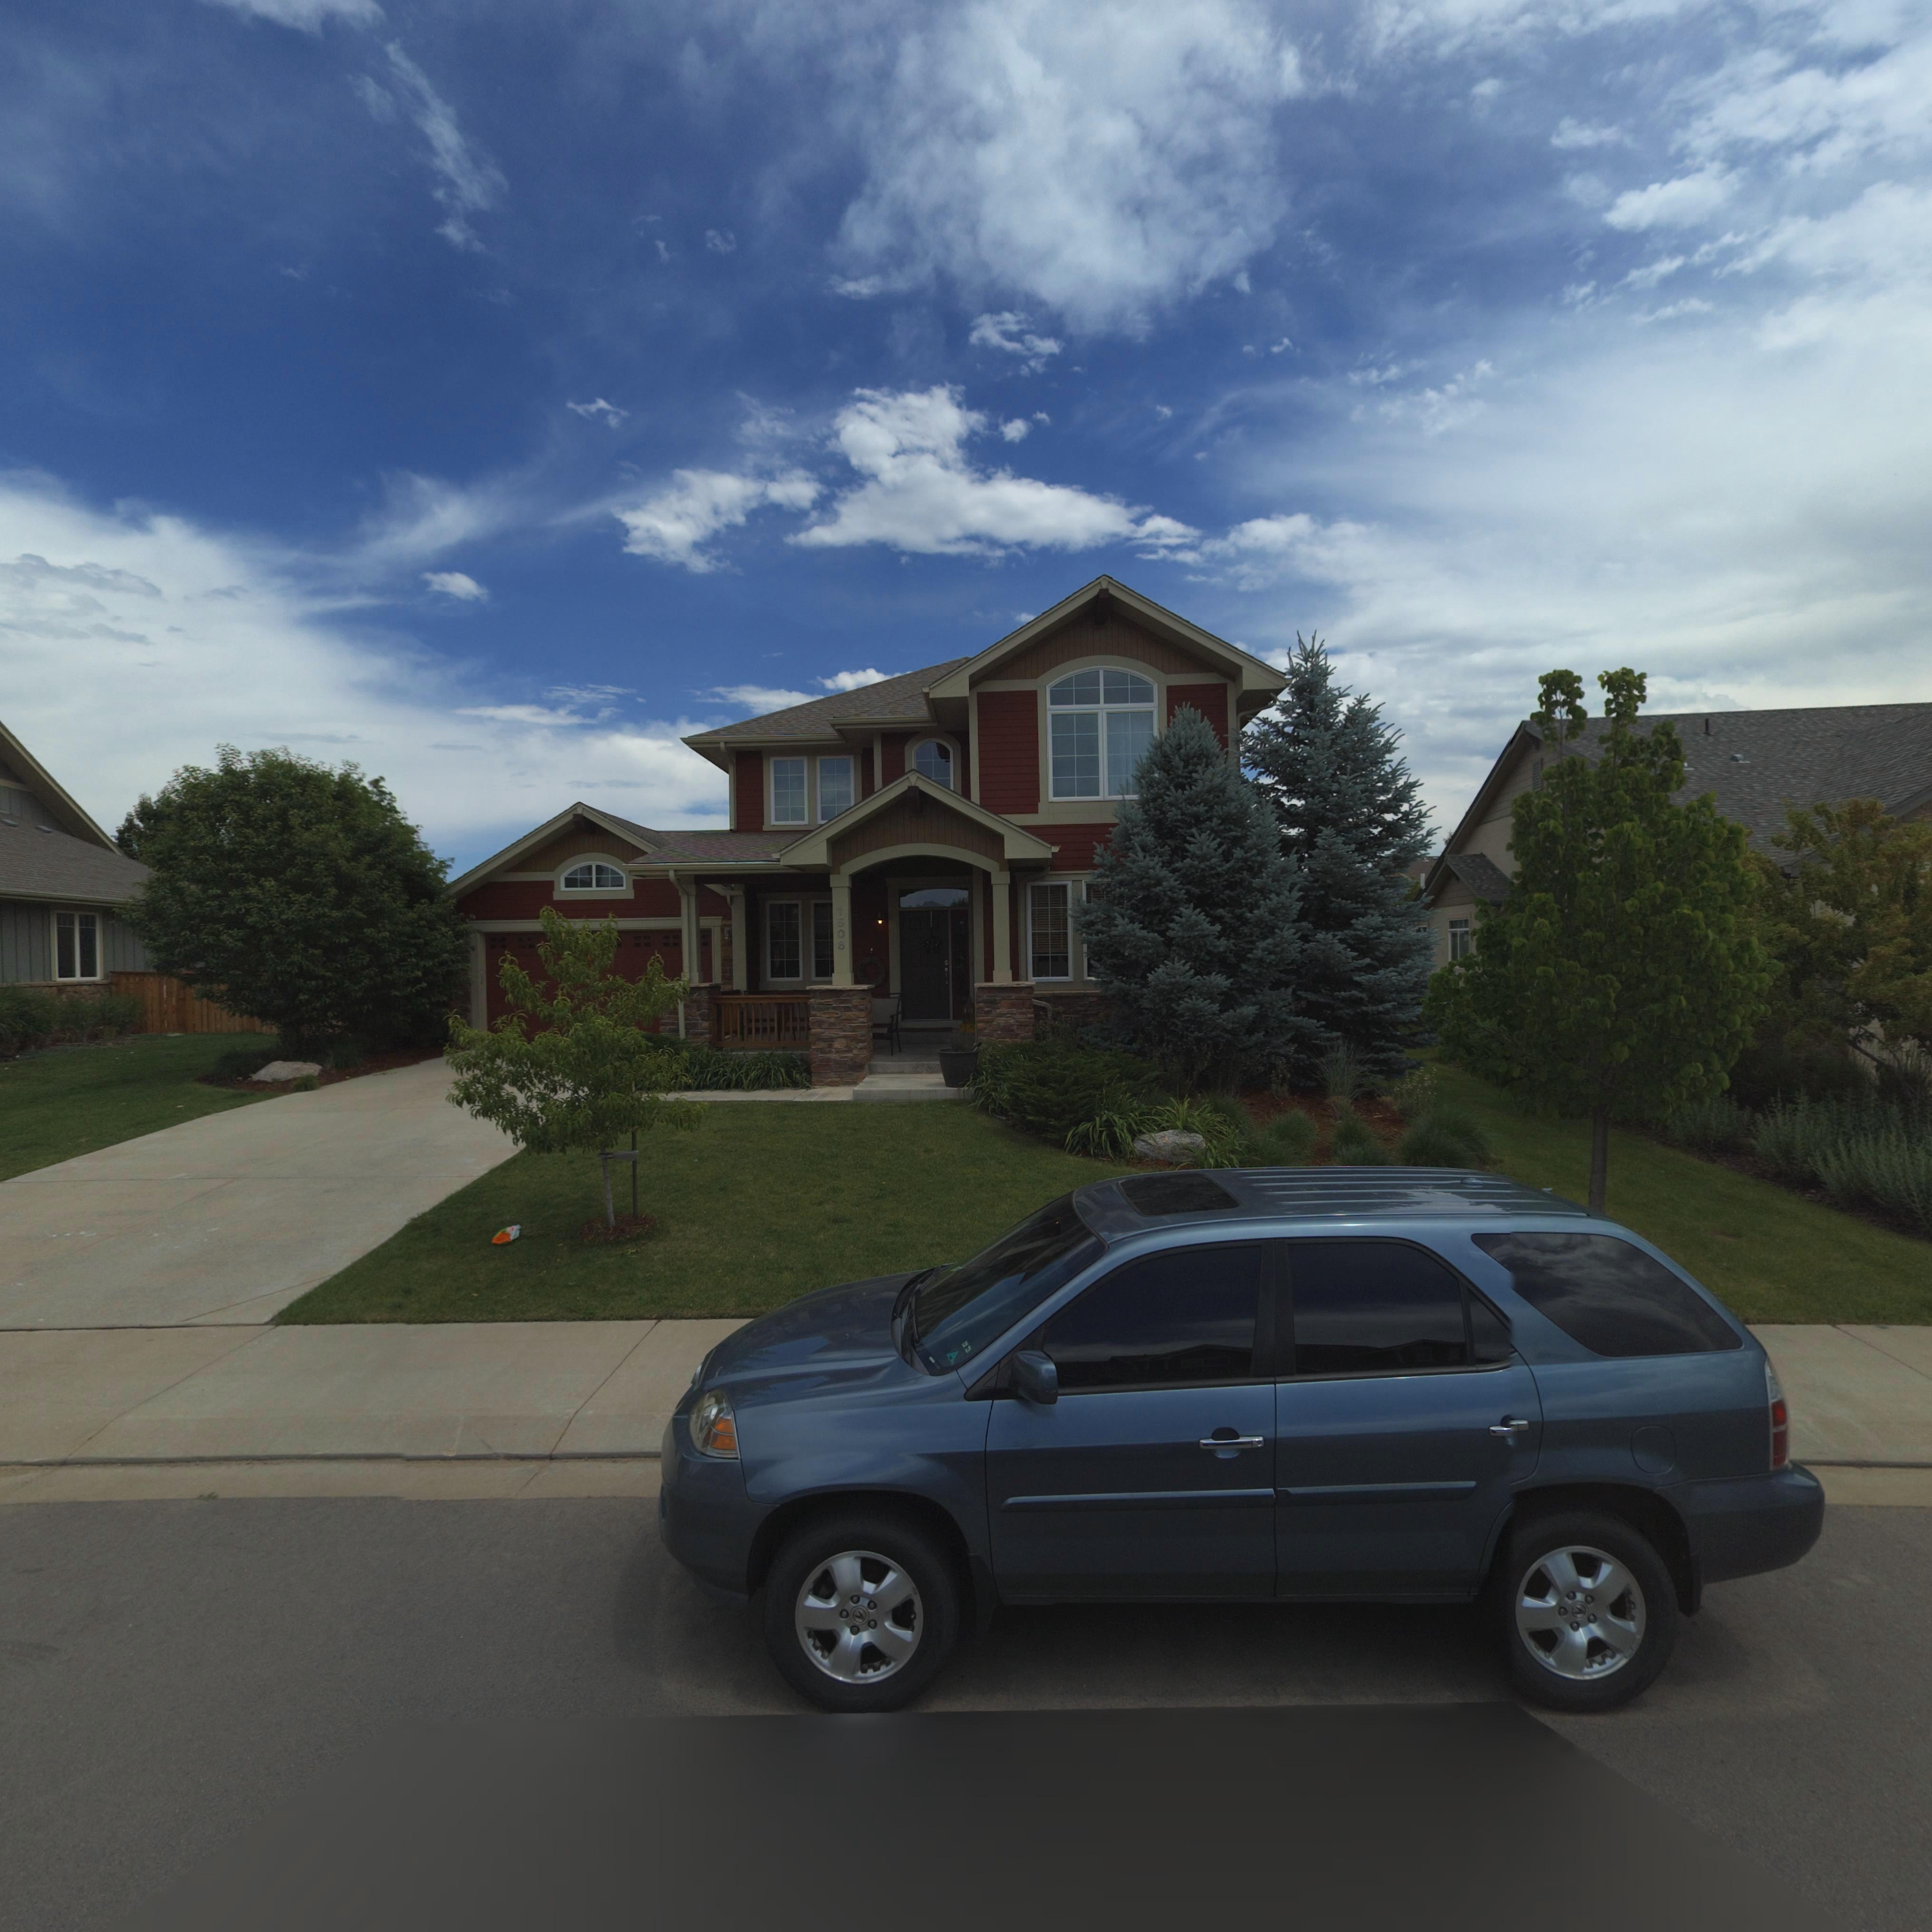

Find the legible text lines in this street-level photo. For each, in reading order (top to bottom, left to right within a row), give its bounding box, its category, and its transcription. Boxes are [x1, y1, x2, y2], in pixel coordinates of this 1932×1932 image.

[837, 906, 845, 950] StreetNumber: 1508